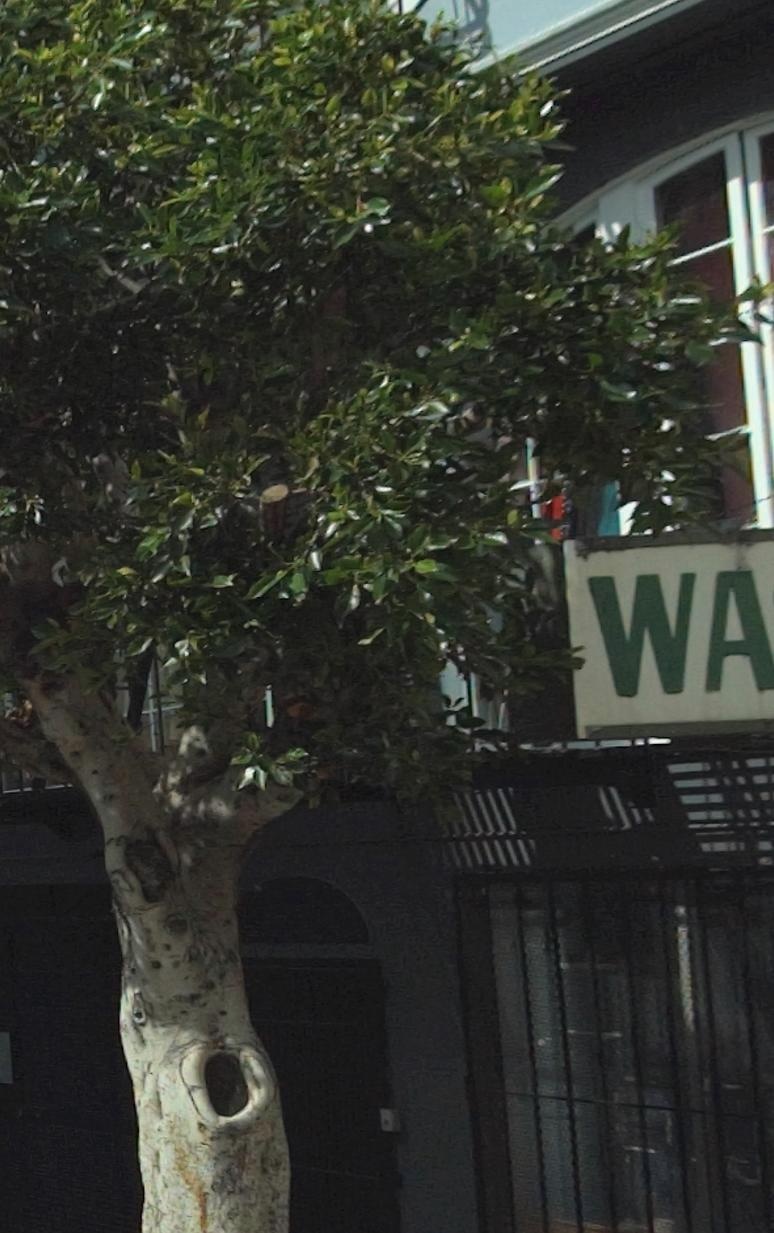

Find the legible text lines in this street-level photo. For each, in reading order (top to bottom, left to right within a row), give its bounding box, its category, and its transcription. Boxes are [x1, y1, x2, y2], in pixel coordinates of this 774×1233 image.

[581, 567, 774, 702] BusinessName: WA